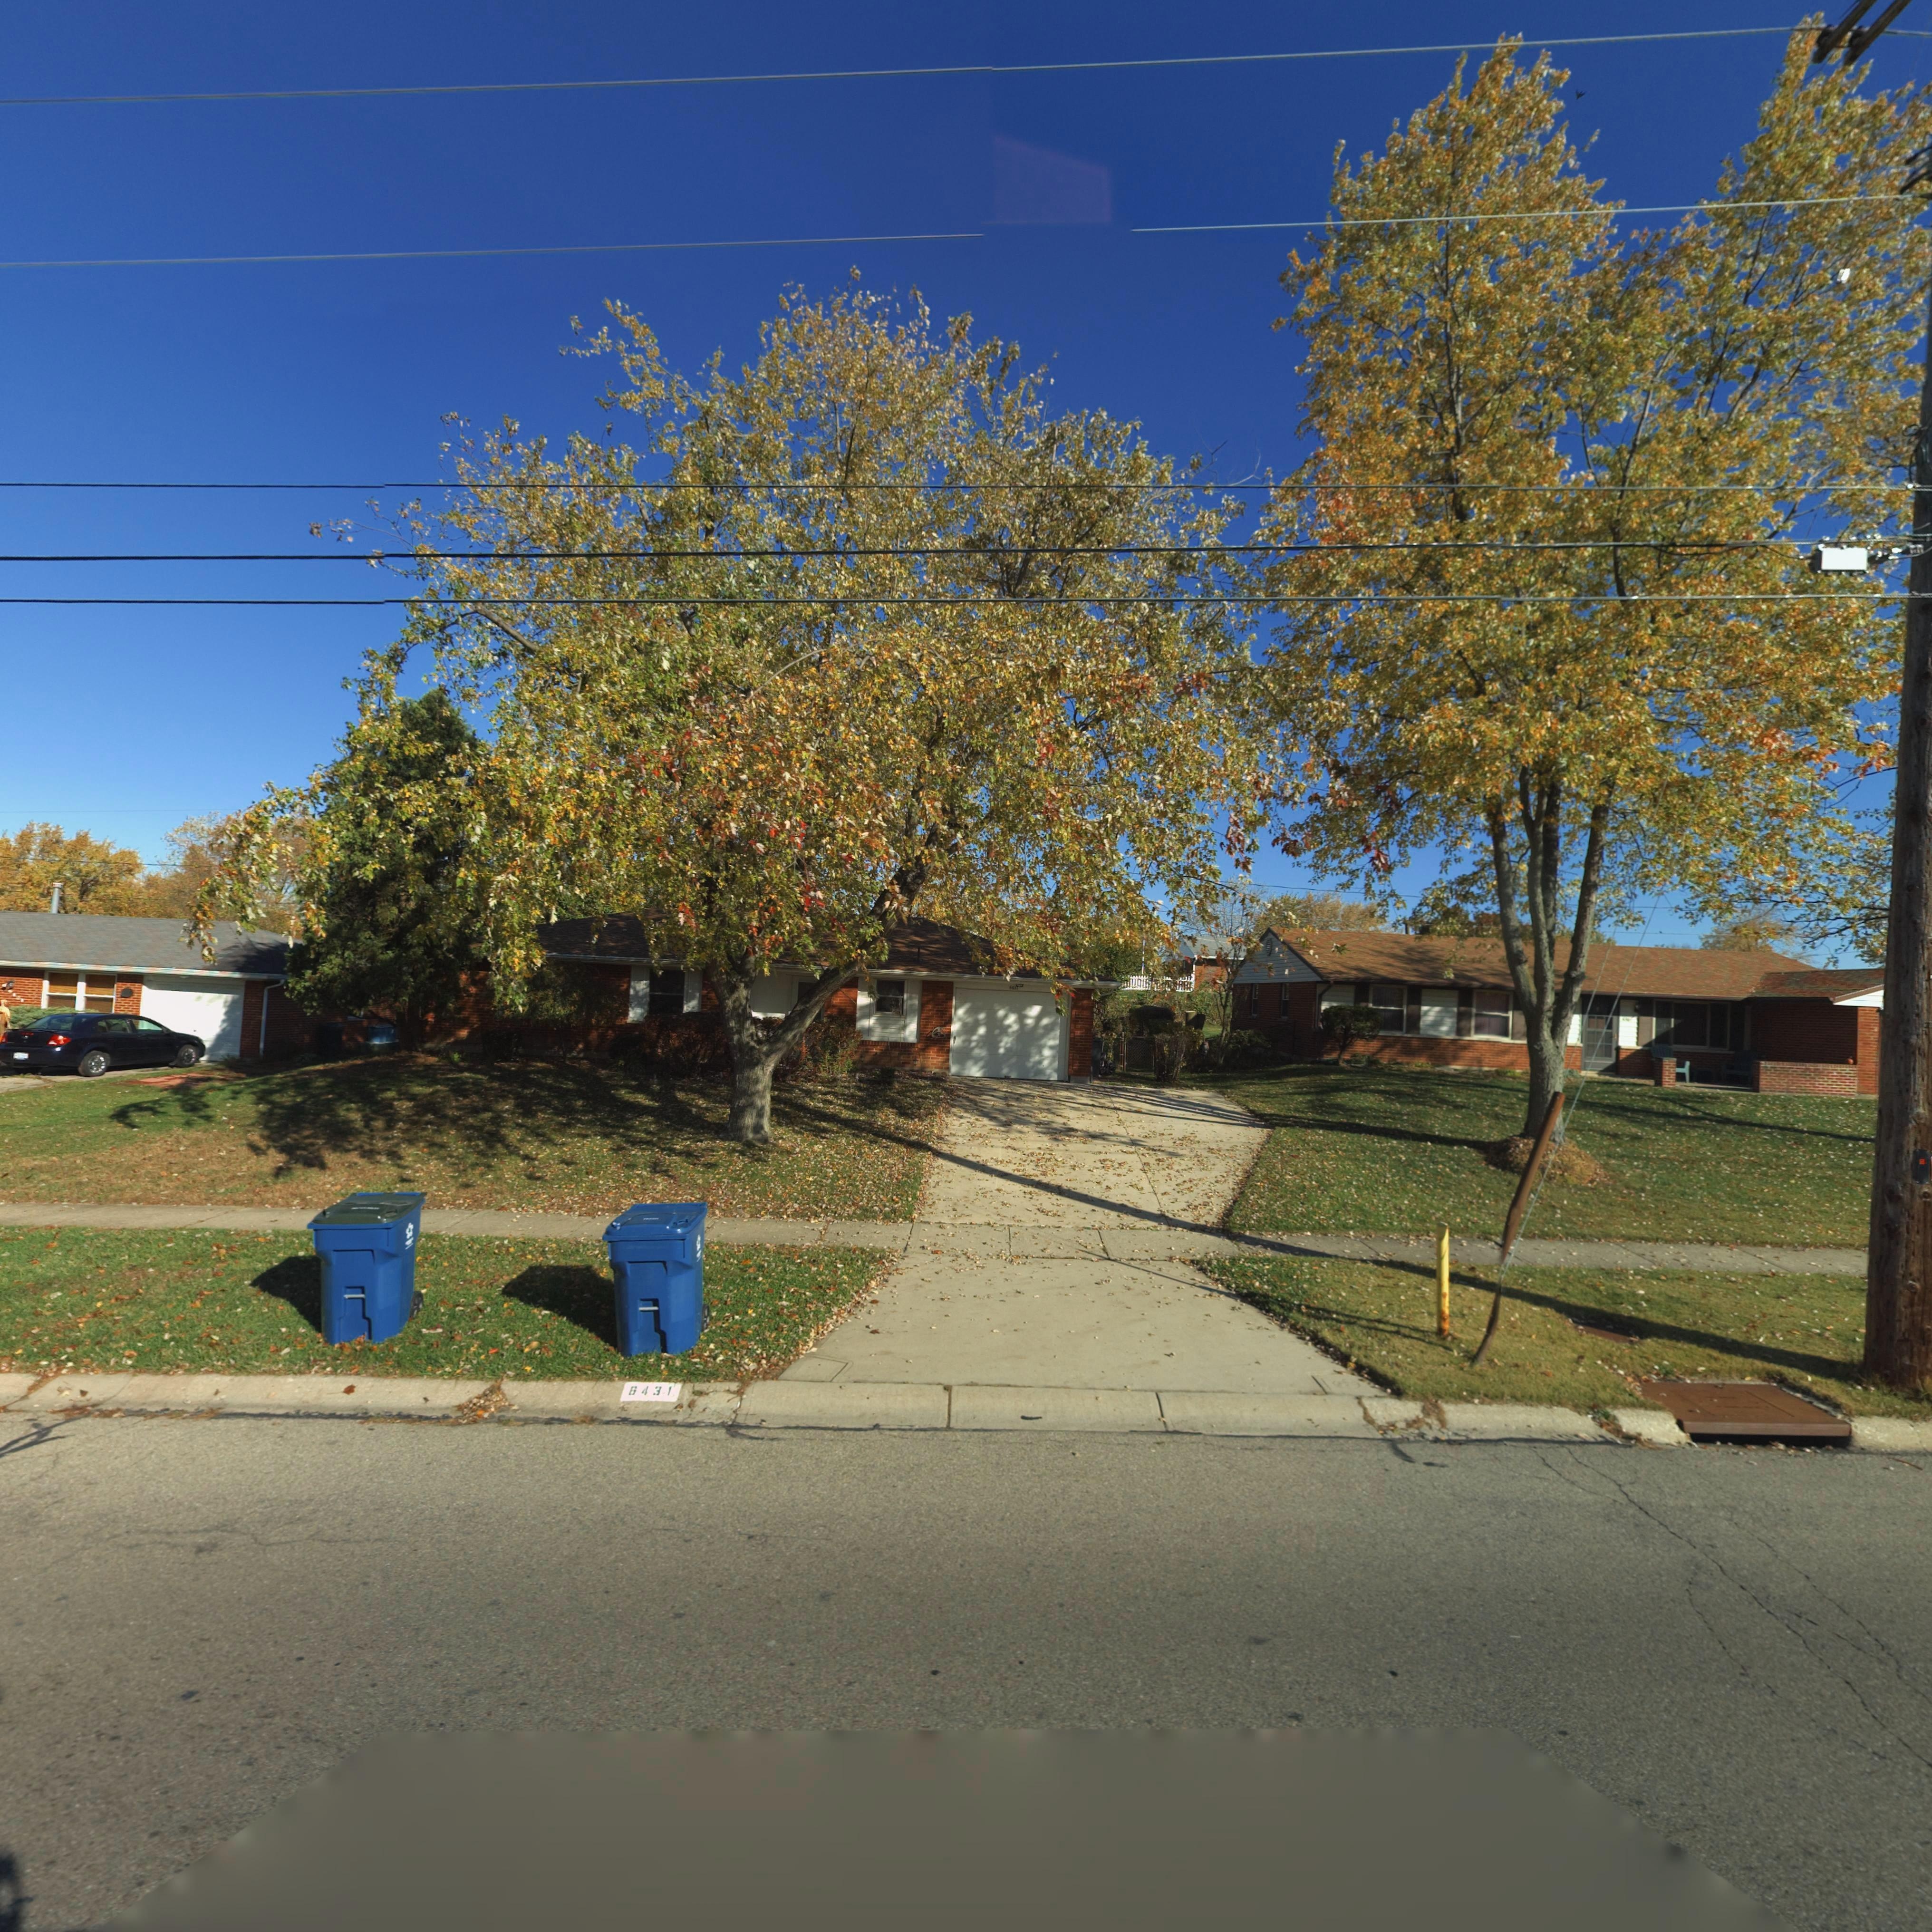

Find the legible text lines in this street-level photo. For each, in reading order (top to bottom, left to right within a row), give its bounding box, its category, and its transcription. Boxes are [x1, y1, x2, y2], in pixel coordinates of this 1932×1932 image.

[1009, 985, 1019, 991] StreetNumber: 64**
[627, 1384, 673, 1397] StreetNumber: 6431